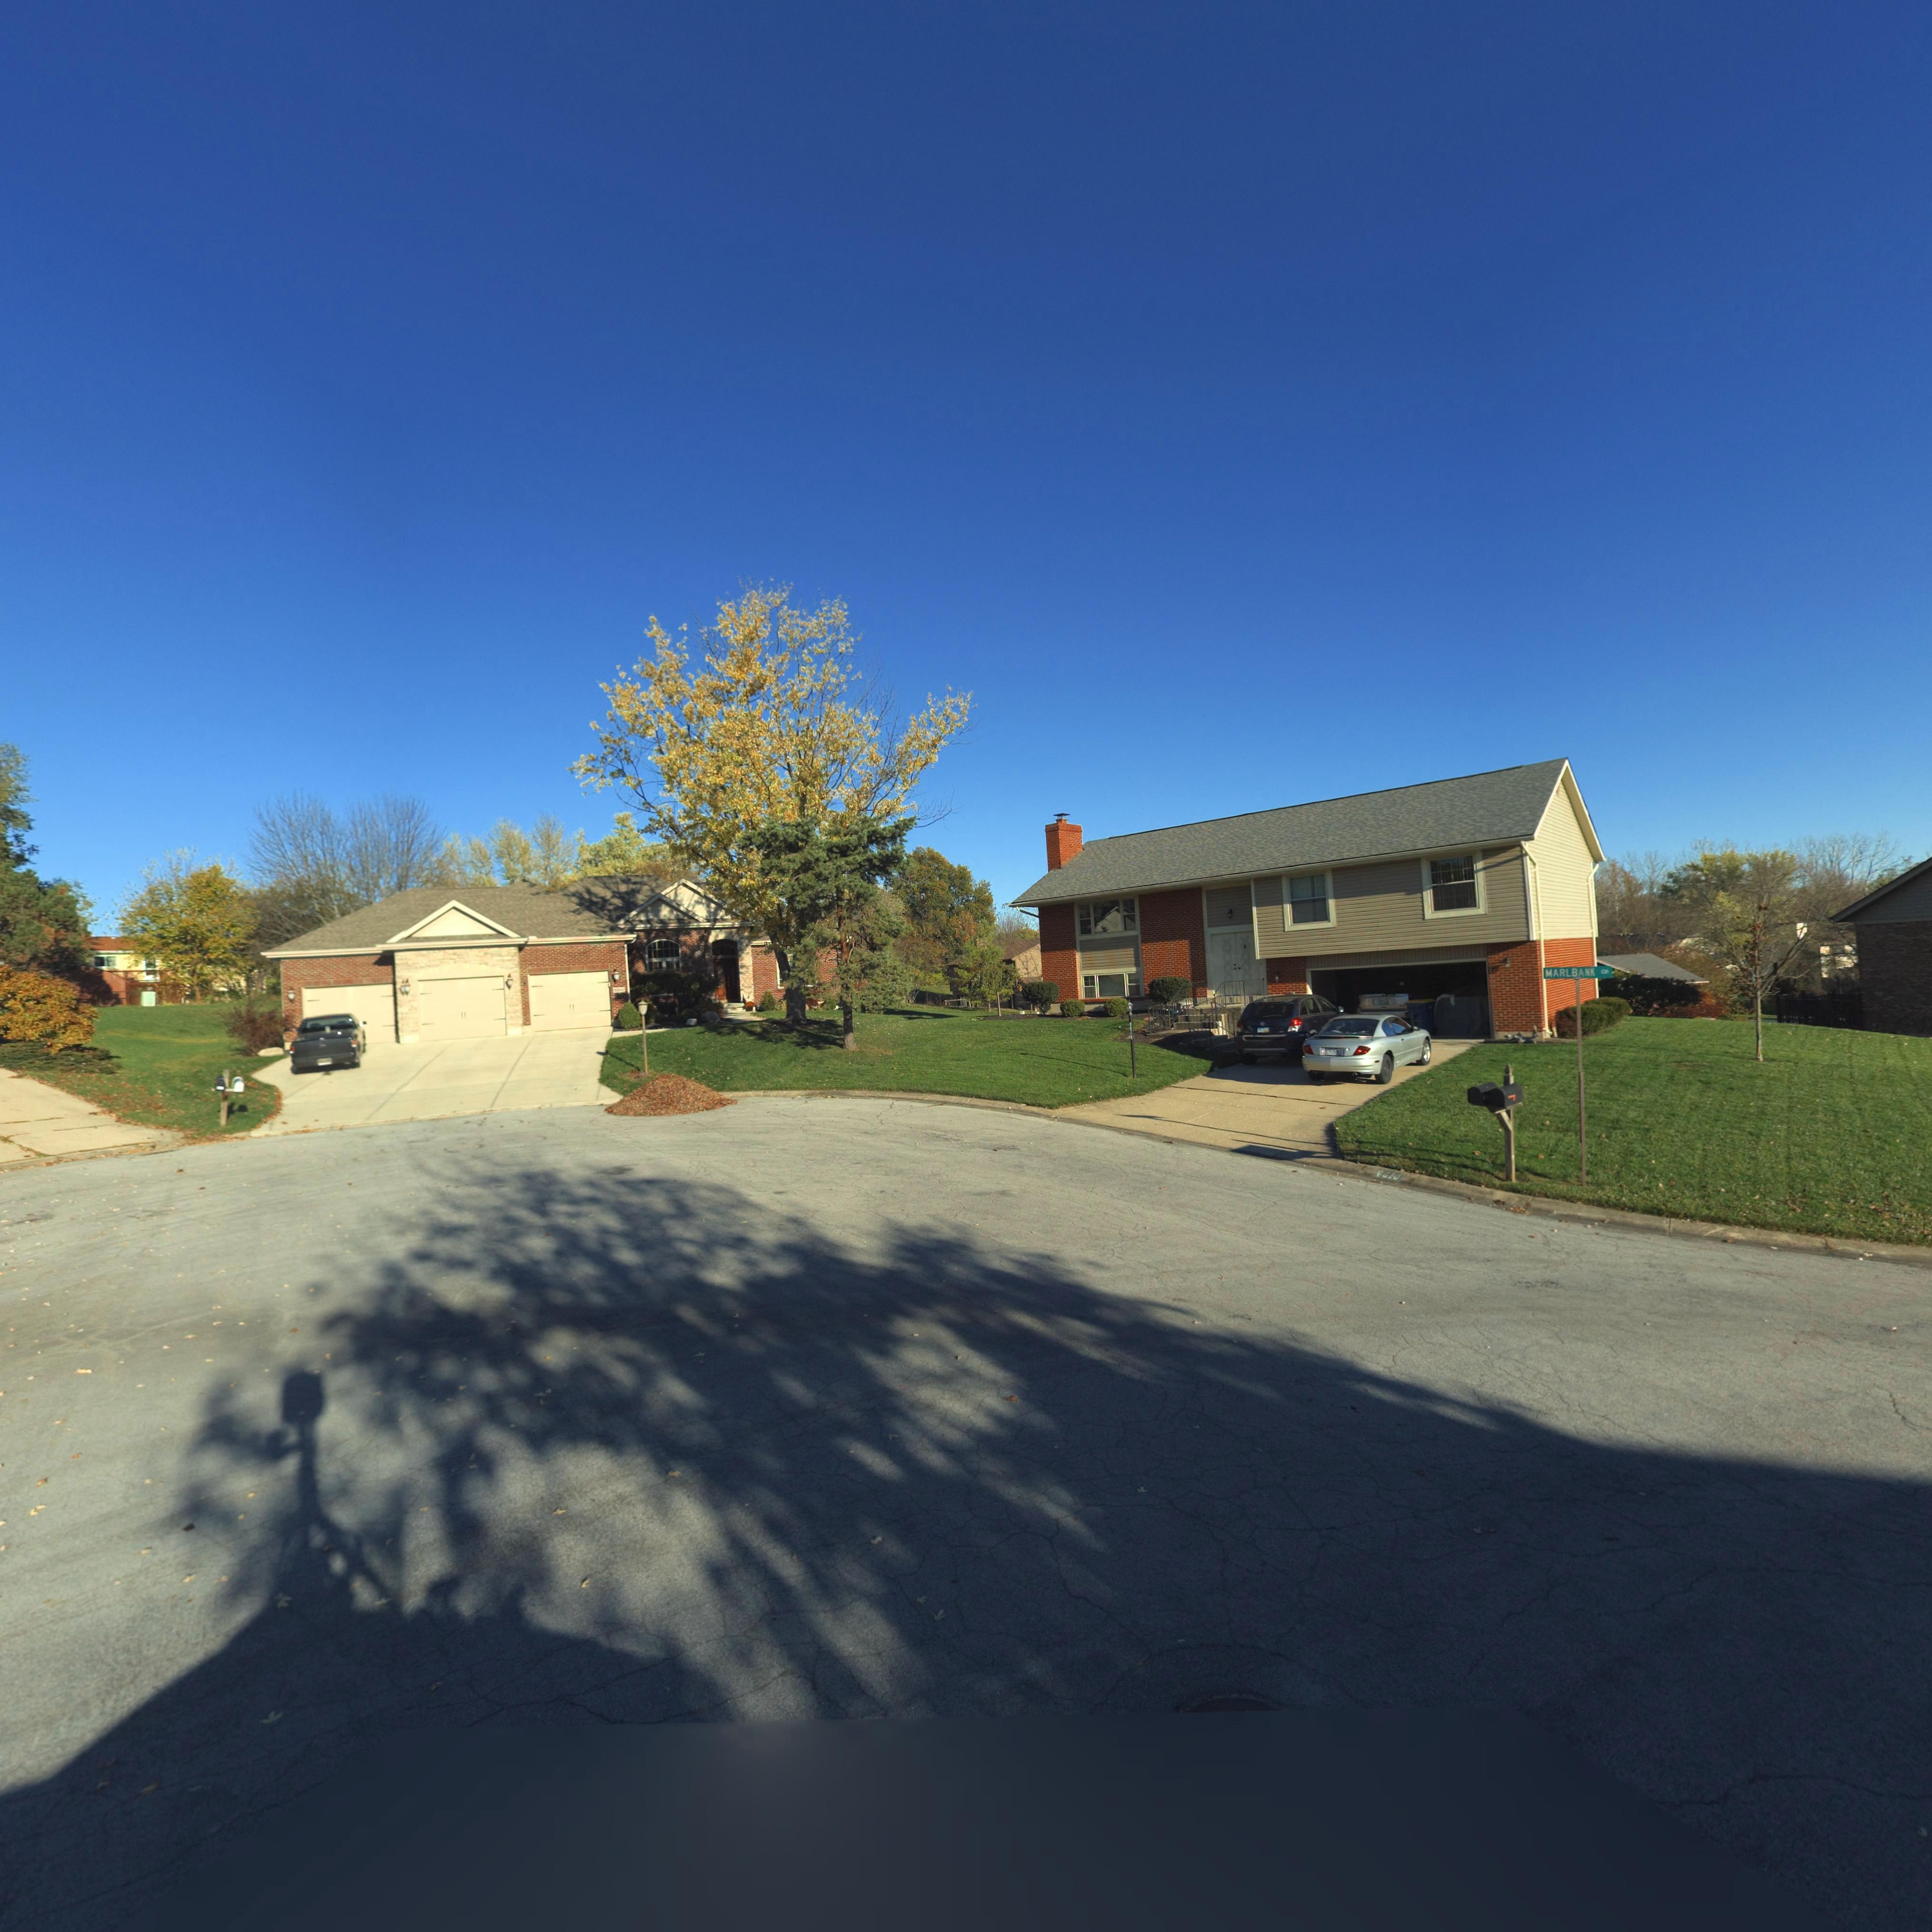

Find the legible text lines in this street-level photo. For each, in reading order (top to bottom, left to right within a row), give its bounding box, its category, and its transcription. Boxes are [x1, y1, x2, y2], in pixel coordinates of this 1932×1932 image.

[1544, 967, 1596, 978] StreetName: MARLBANK
[1374, 1169, 1402, 1181] StreetNumber: ***0